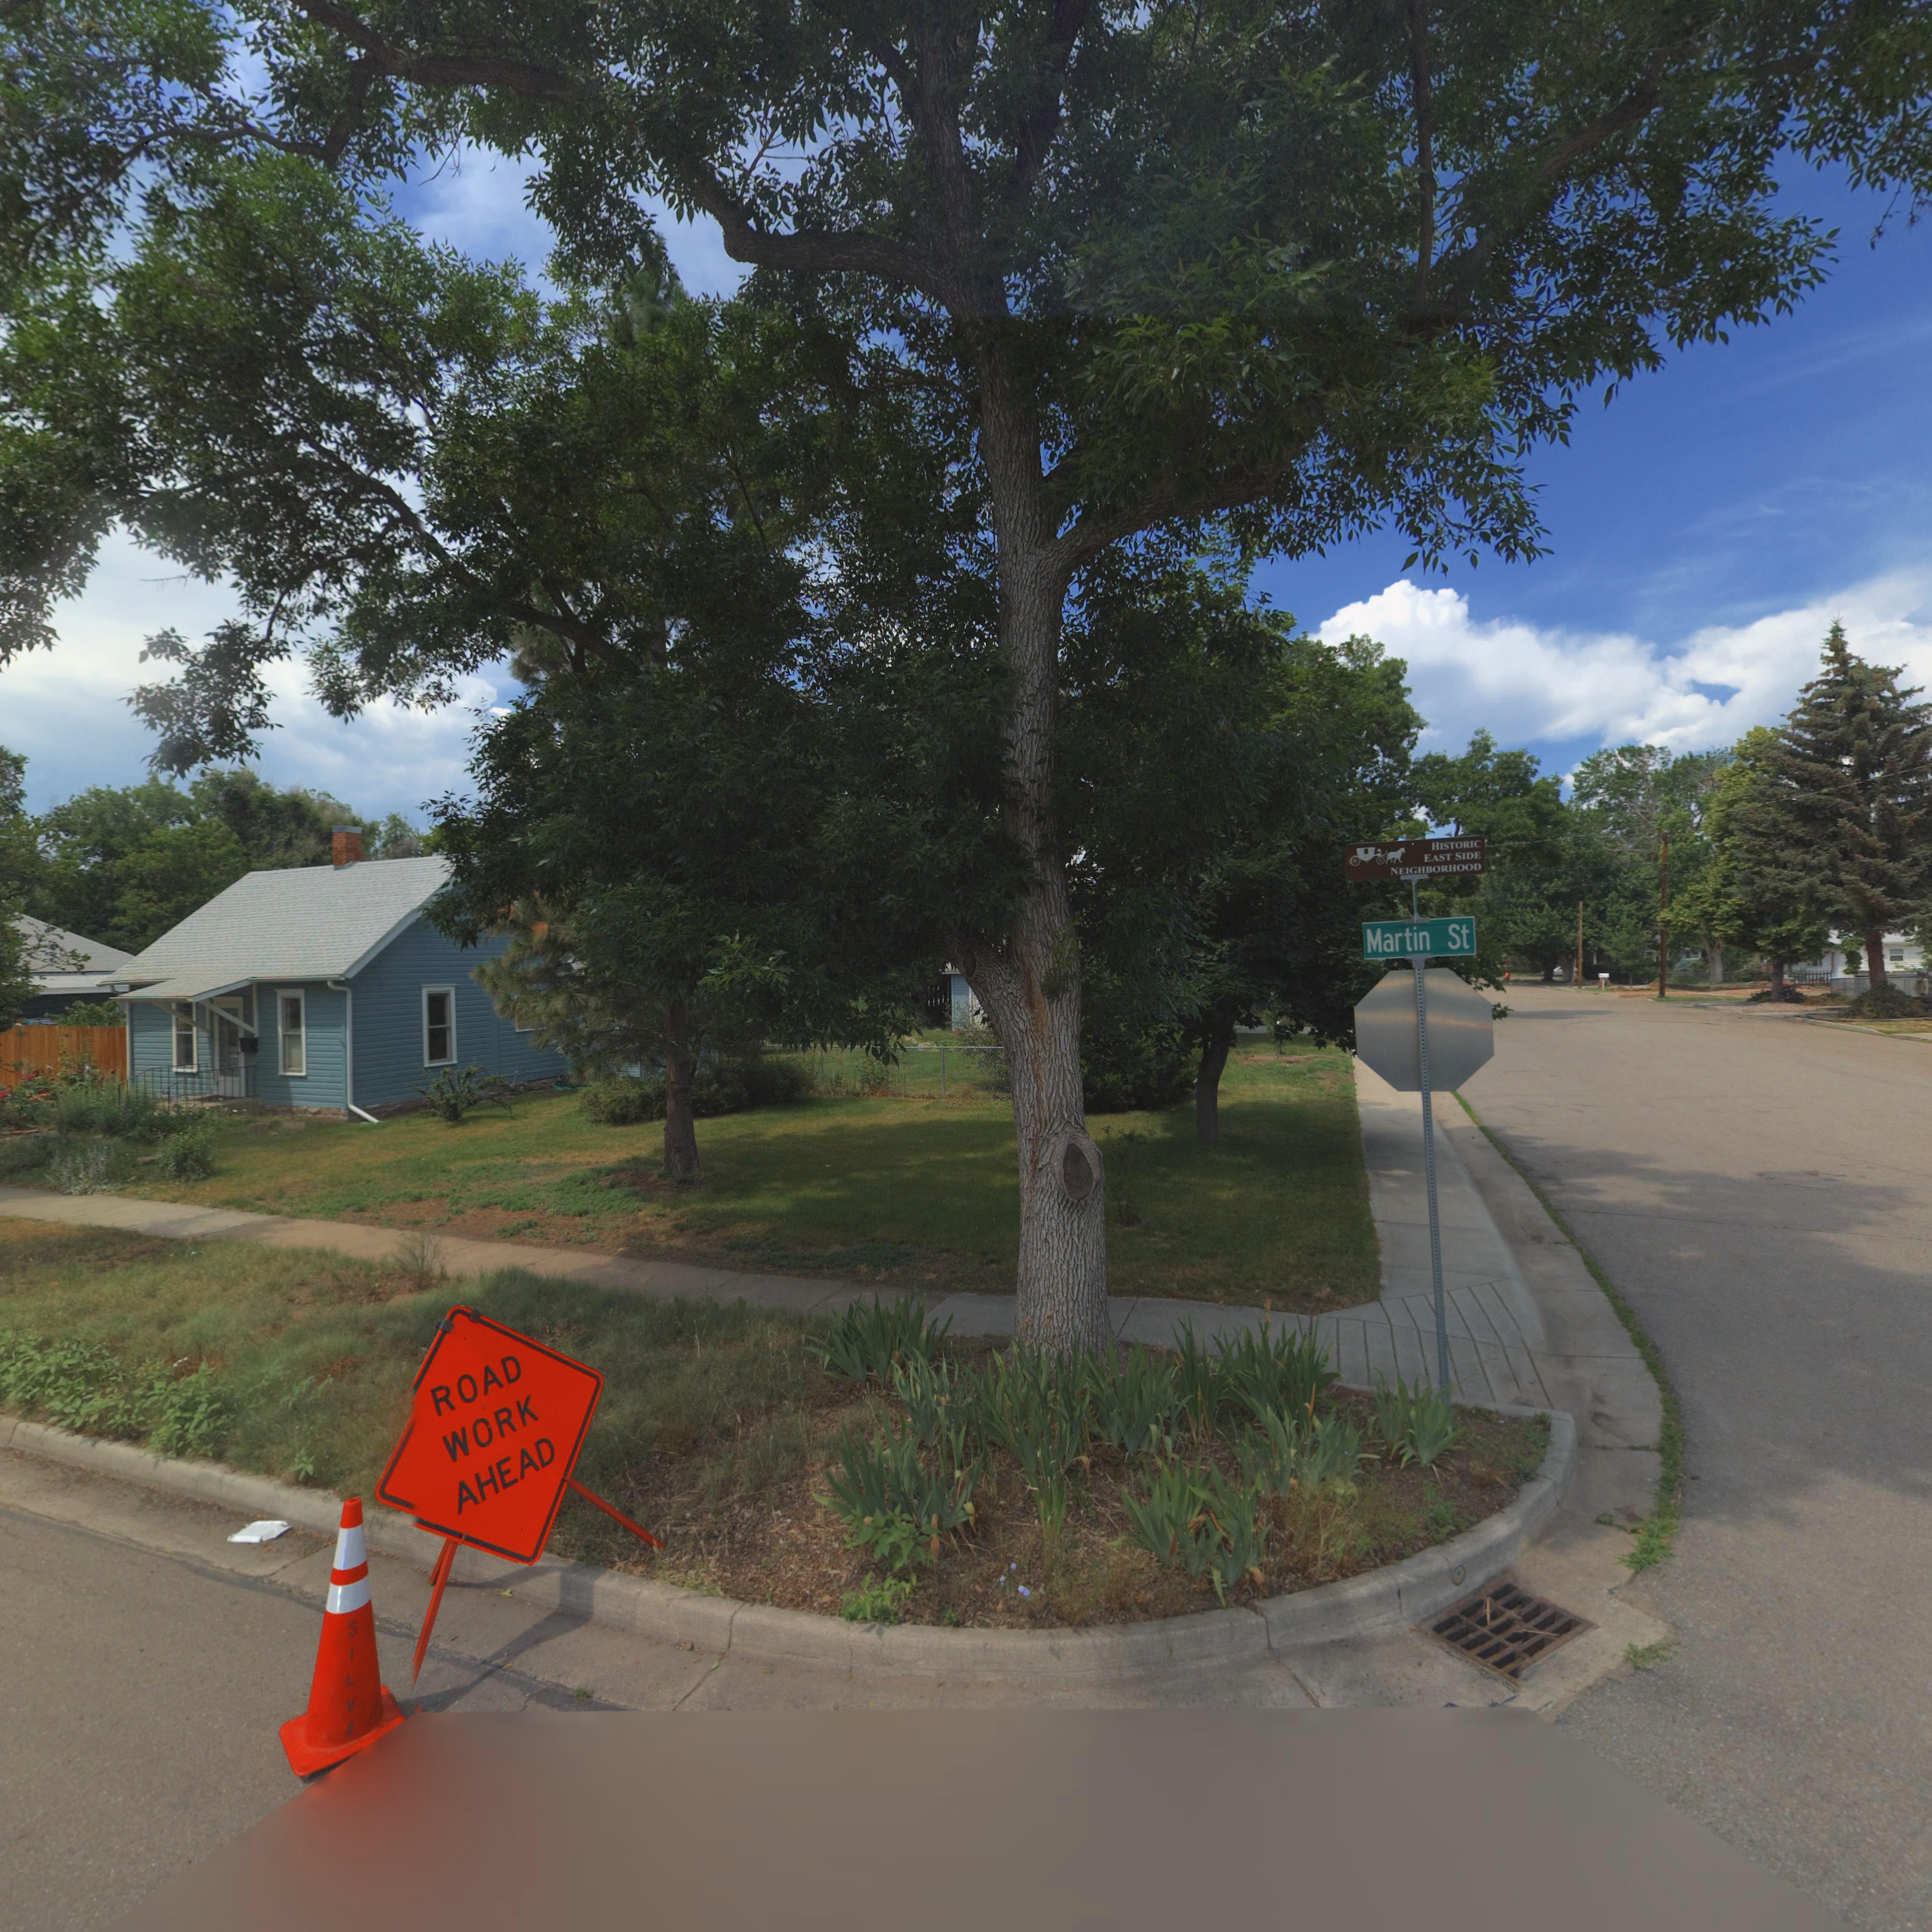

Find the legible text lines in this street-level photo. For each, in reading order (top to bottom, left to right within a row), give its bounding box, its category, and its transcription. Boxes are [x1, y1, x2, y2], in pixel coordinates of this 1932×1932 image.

[1366, 923, 1469, 952] StreetName: Martin St